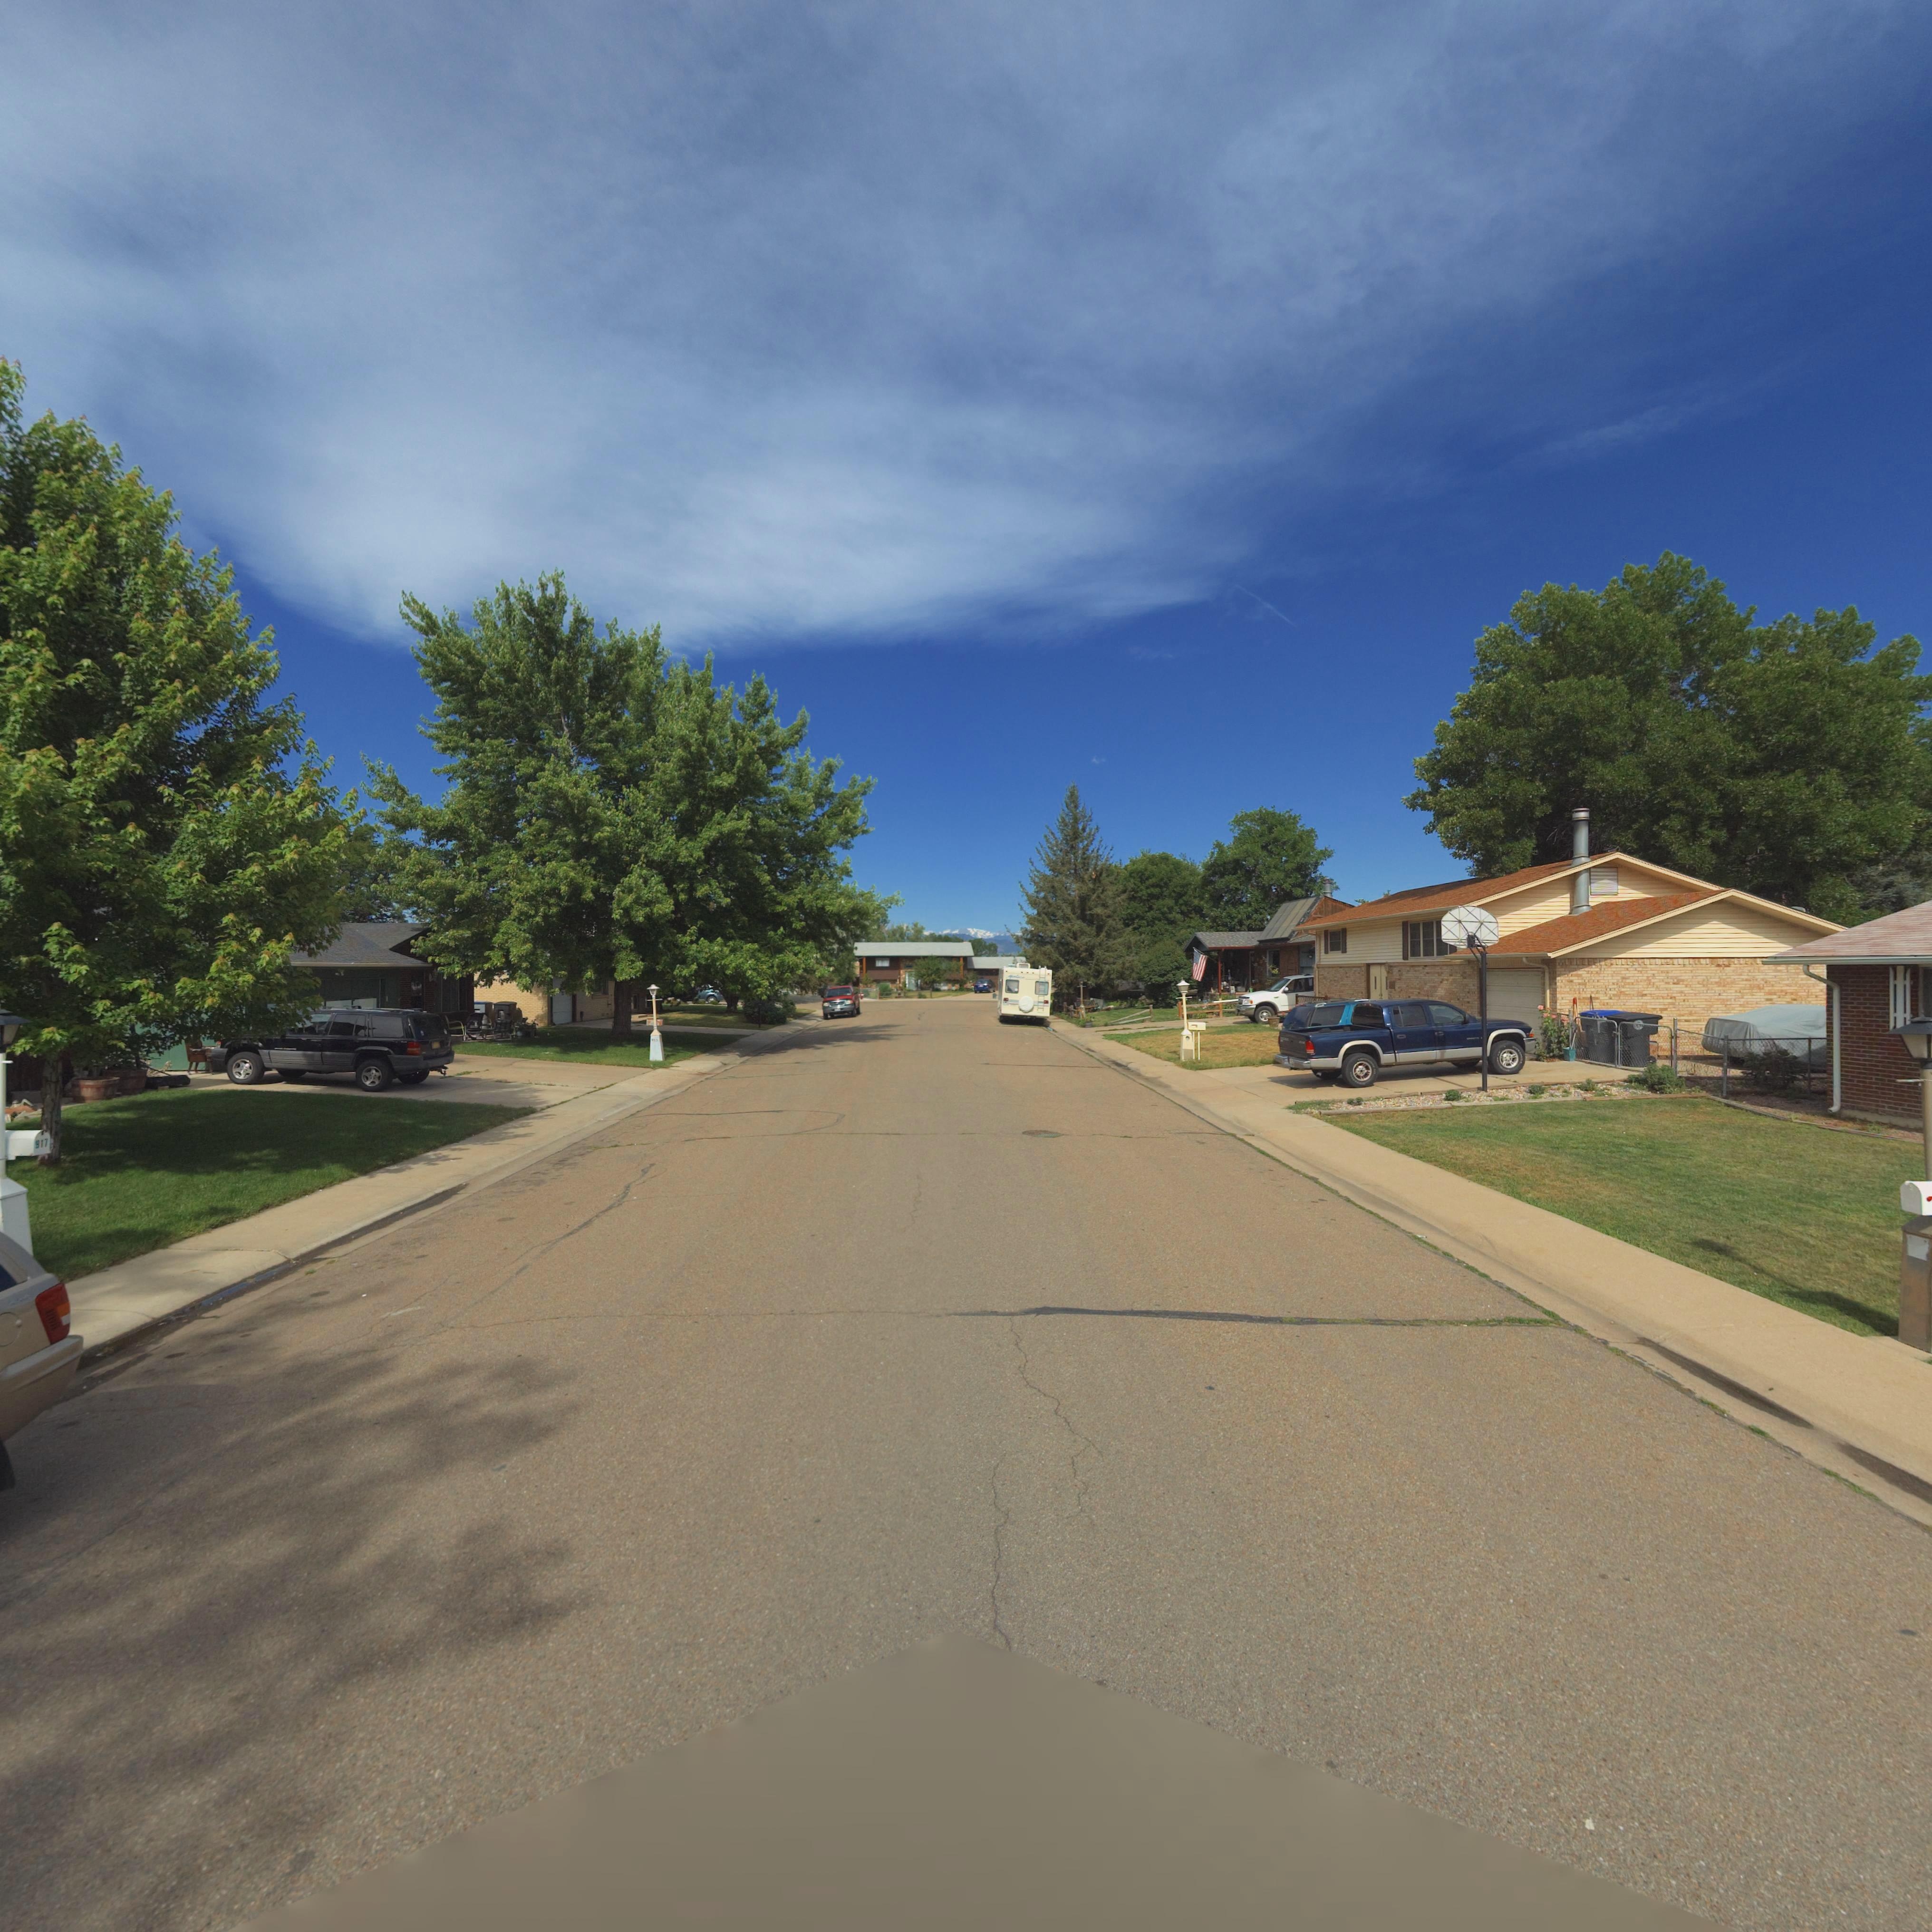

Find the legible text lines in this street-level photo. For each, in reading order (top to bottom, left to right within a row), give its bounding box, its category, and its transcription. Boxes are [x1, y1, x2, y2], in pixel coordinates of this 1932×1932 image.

[35, 1138, 48, 1149] StreetNumber: 917